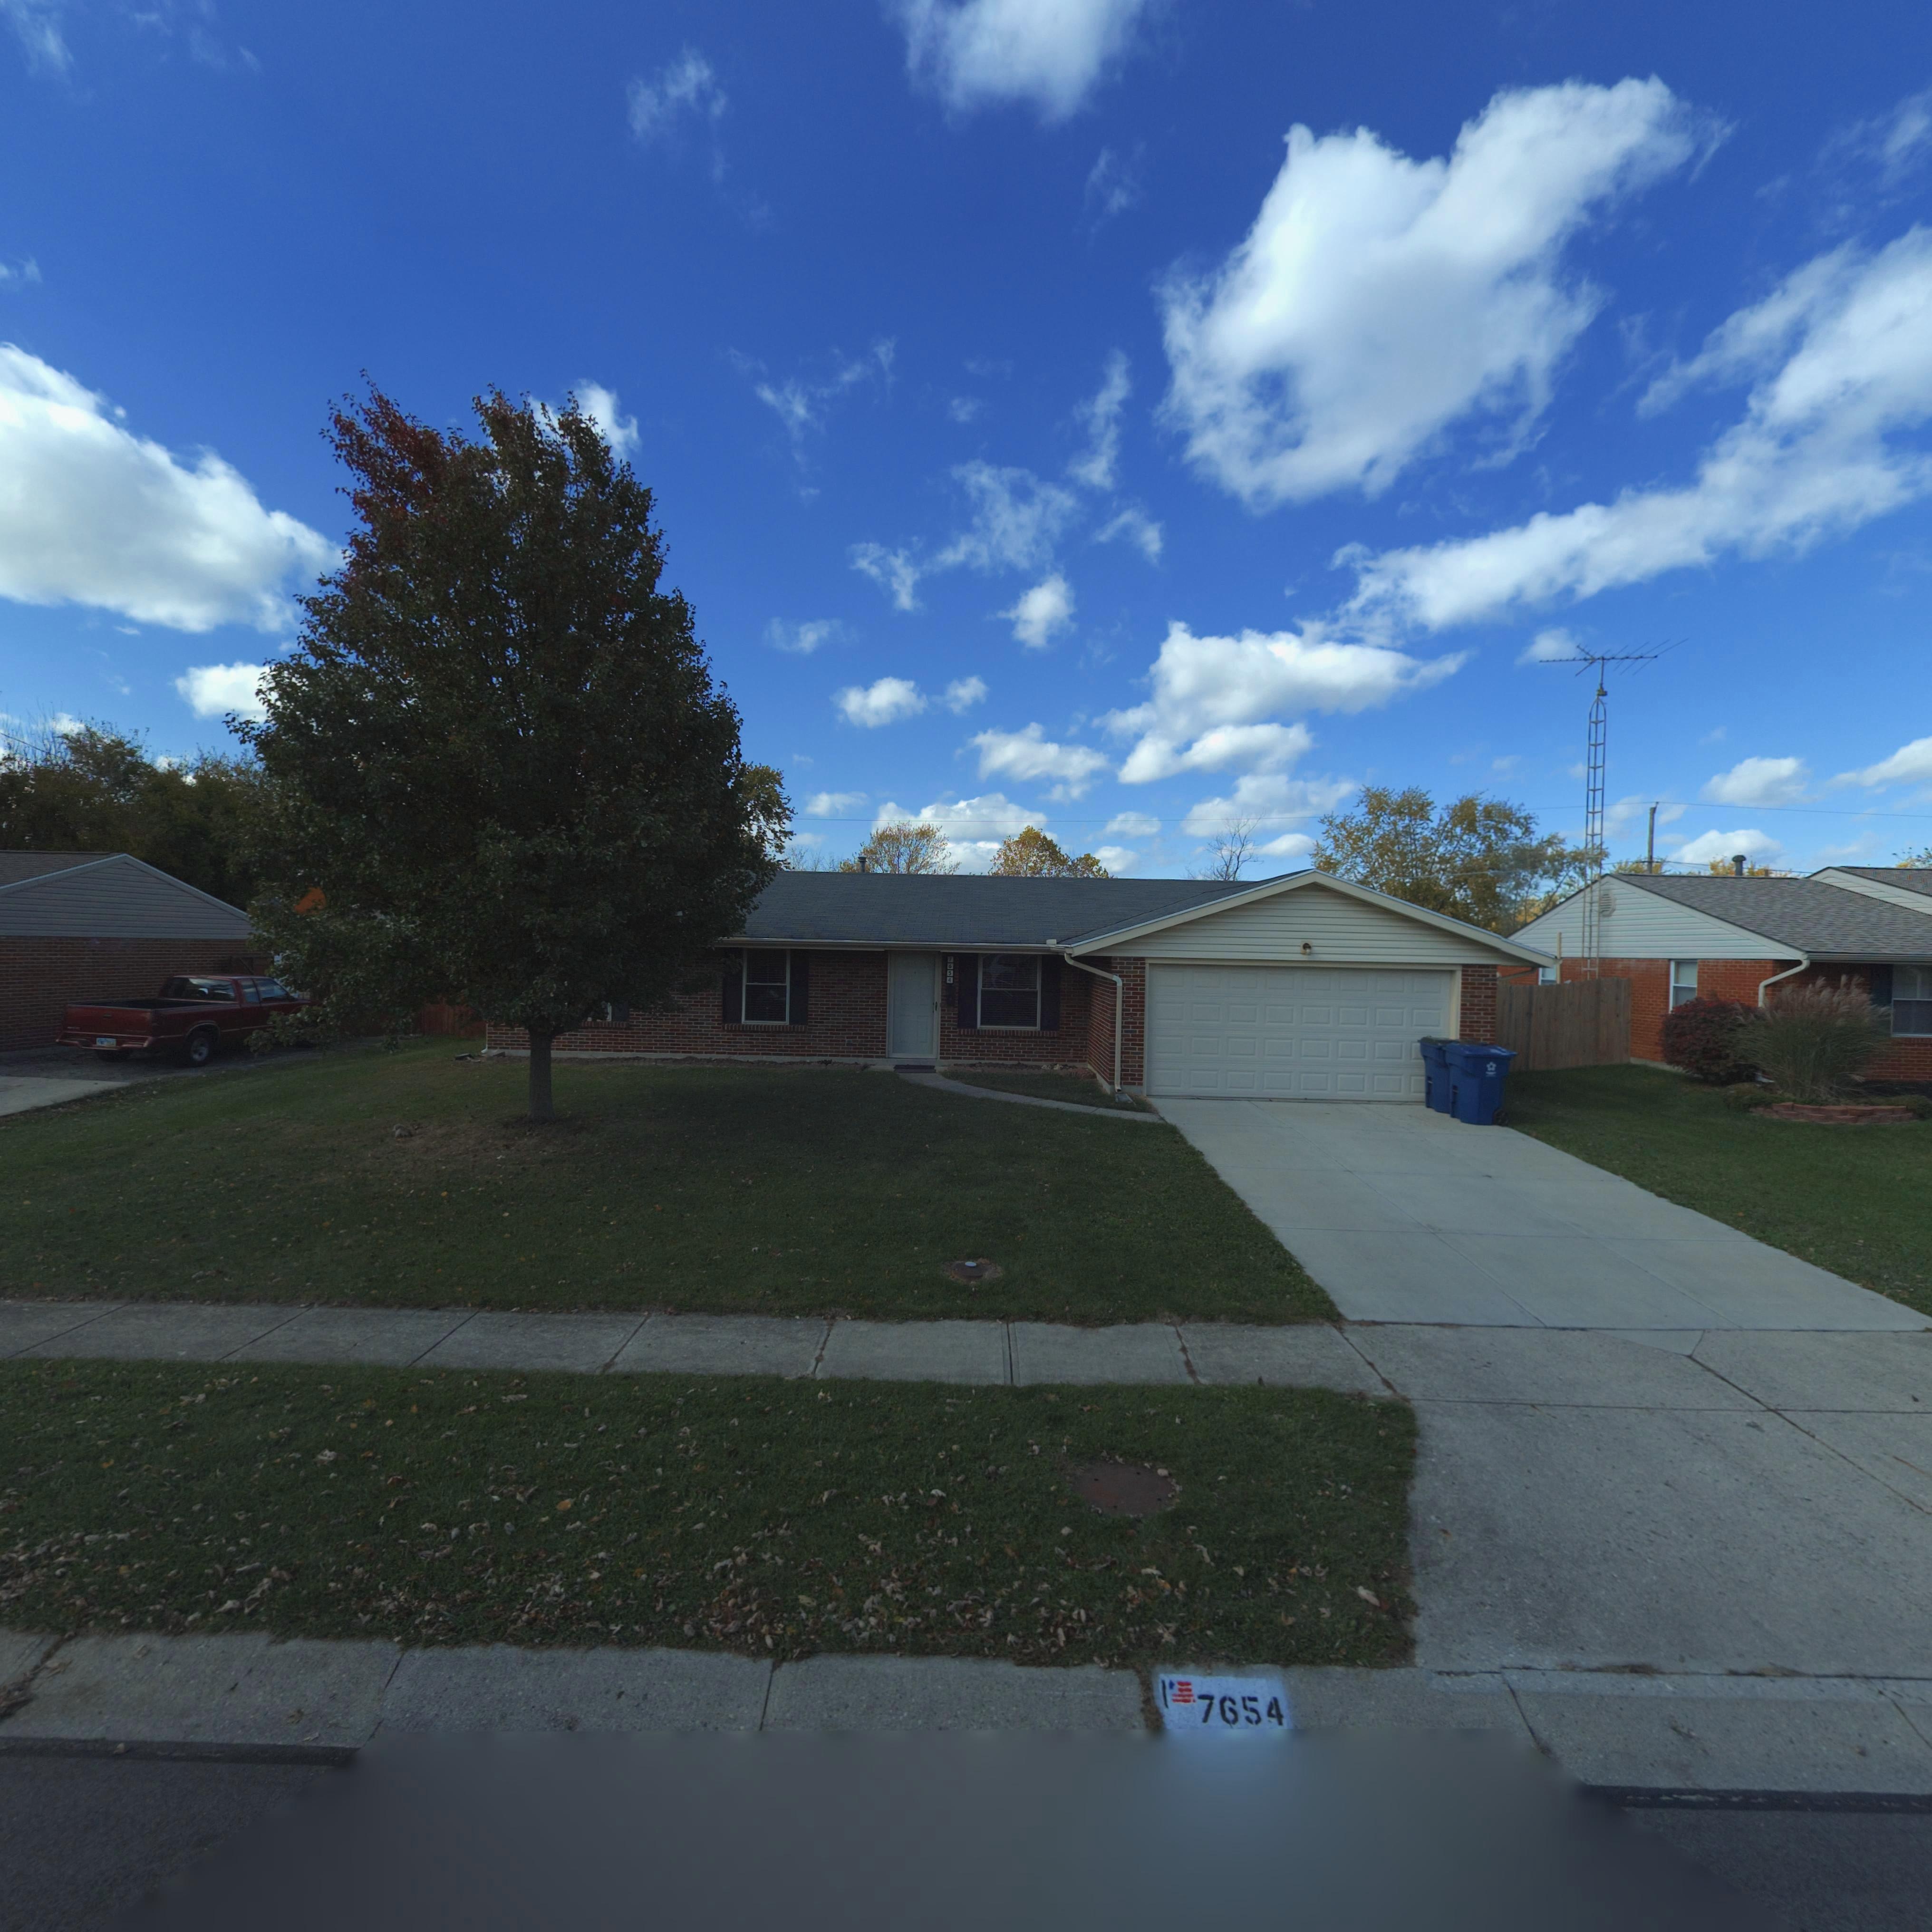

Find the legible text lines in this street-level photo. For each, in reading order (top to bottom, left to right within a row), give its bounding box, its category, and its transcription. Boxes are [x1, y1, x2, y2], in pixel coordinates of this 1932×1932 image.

[947, 956, 953, 983] StreetNumber: 7654
[1196, 1692, 1285, 1728] StreetNumber: 7654